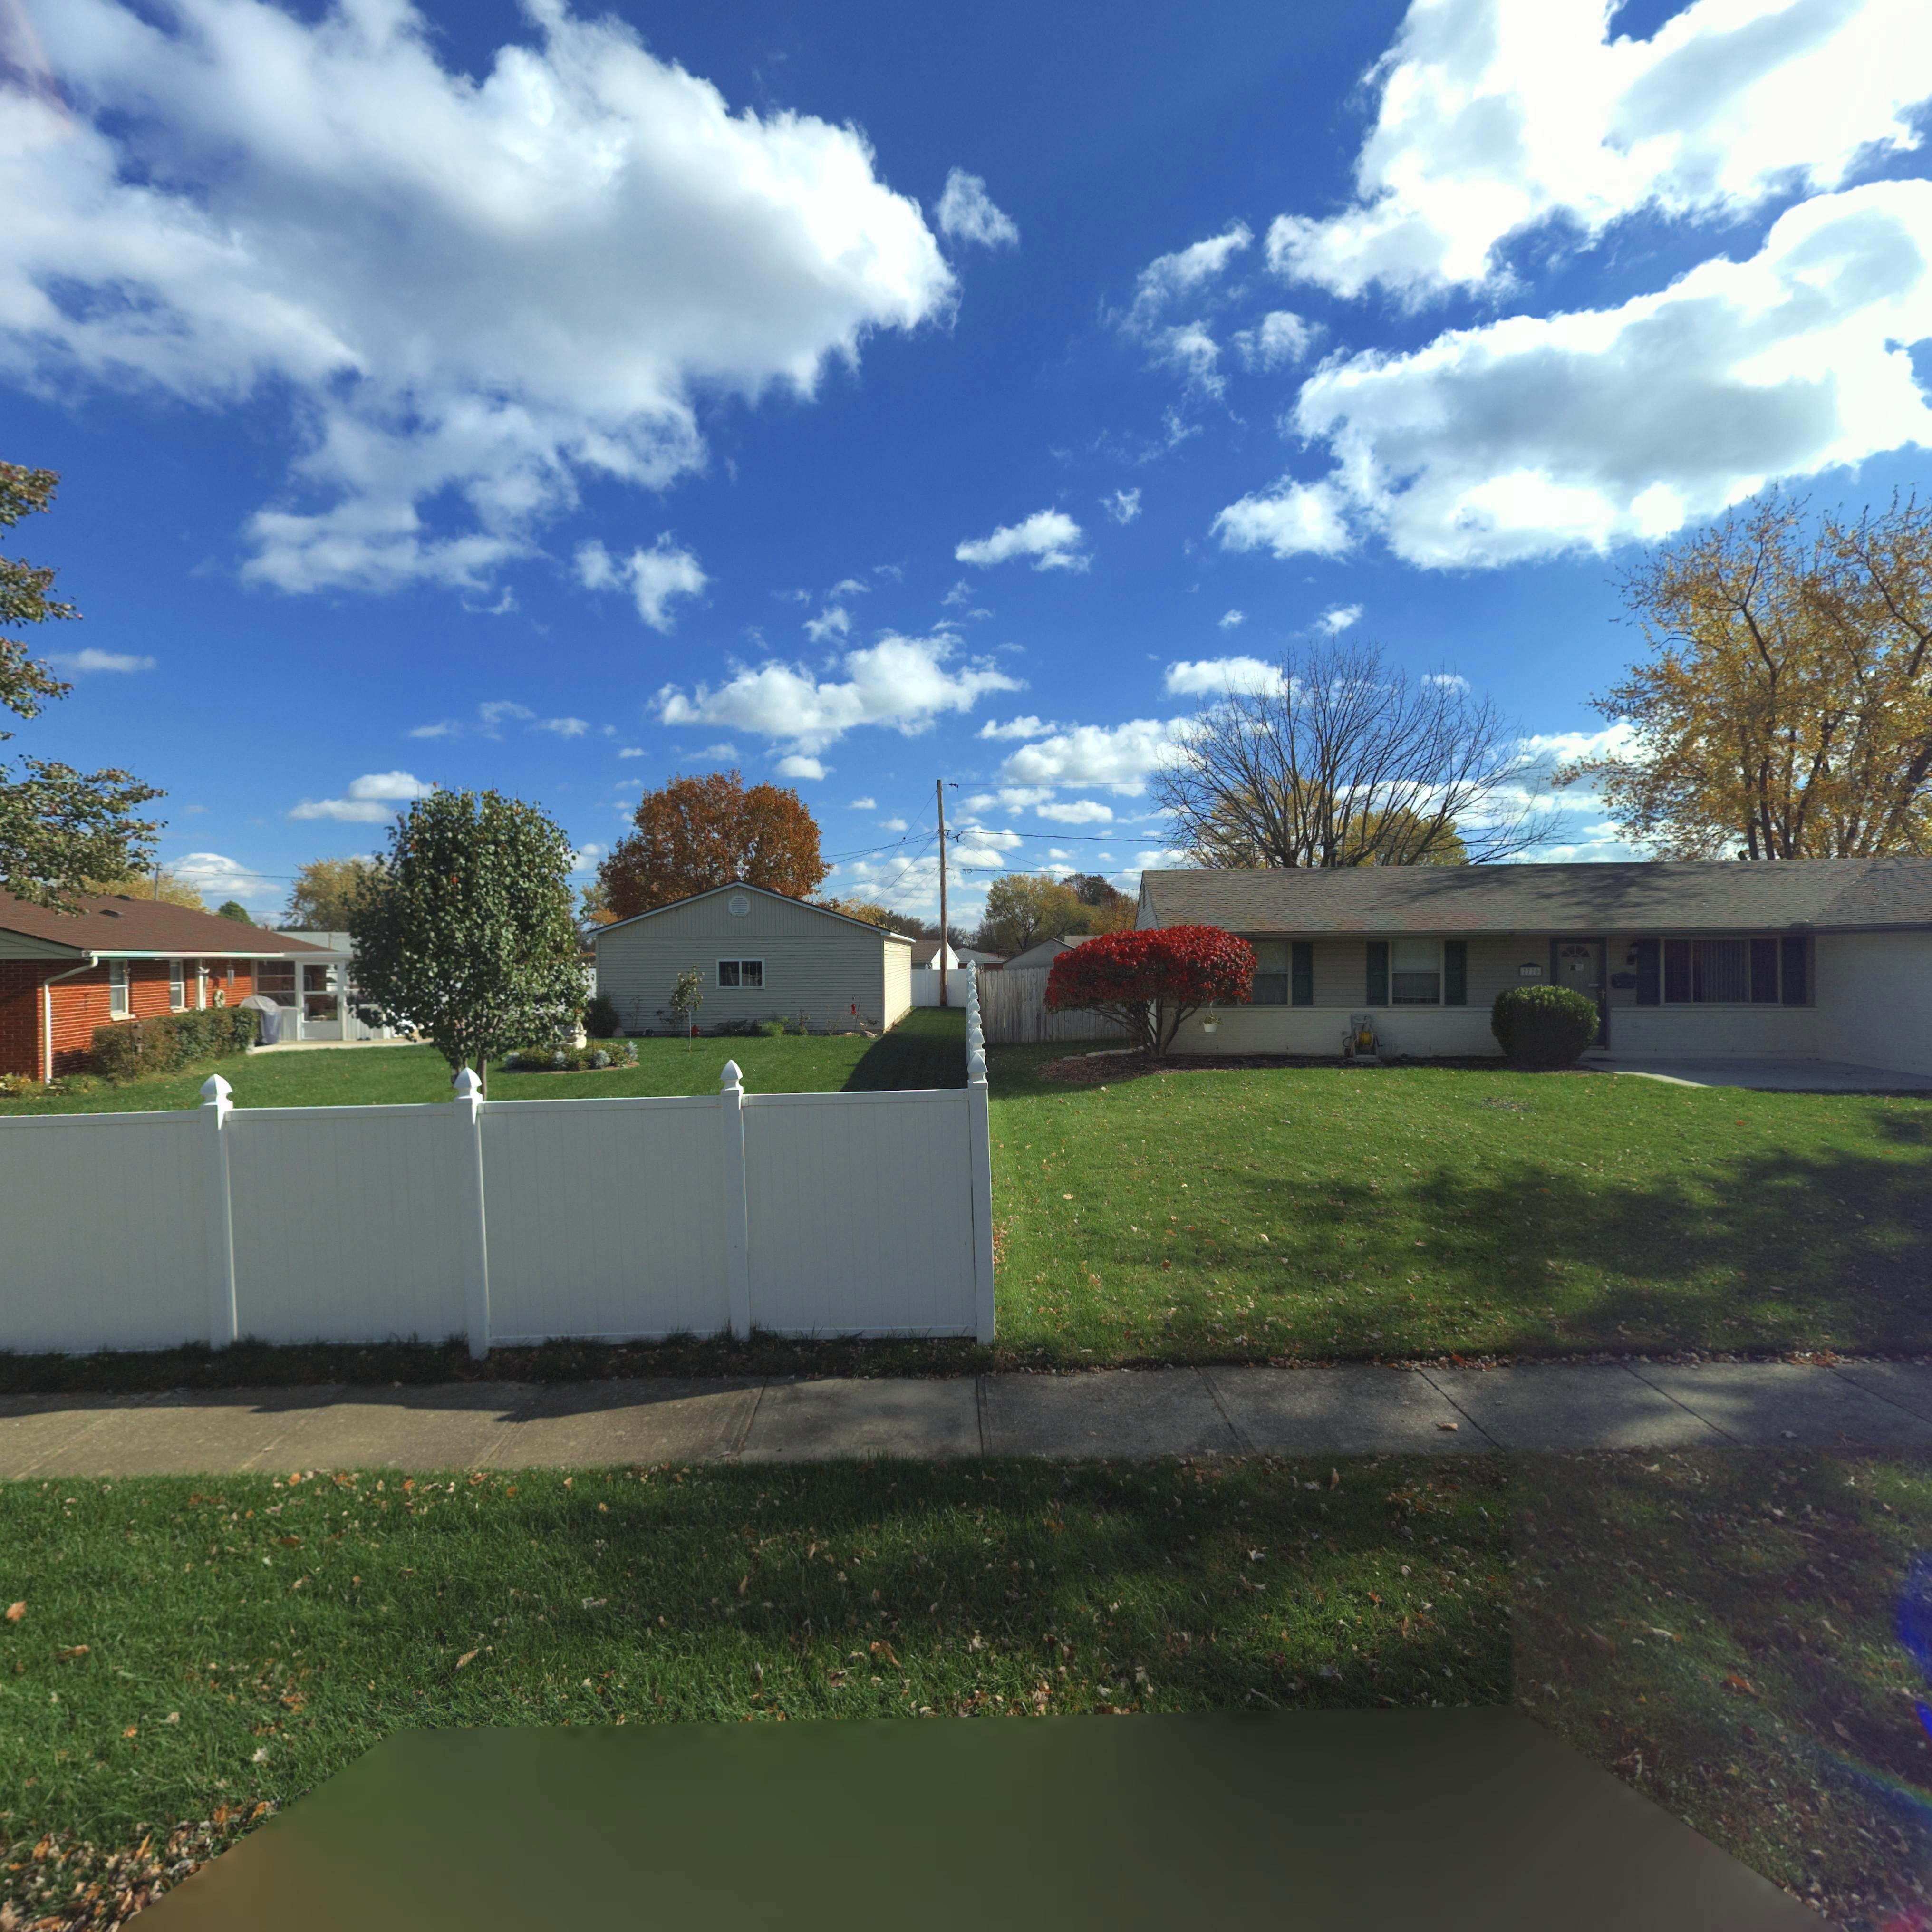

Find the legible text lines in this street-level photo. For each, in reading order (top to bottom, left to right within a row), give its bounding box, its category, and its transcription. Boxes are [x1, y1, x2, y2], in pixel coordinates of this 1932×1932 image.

[1522, 967, 1539, 975] StreetNumber: 7770